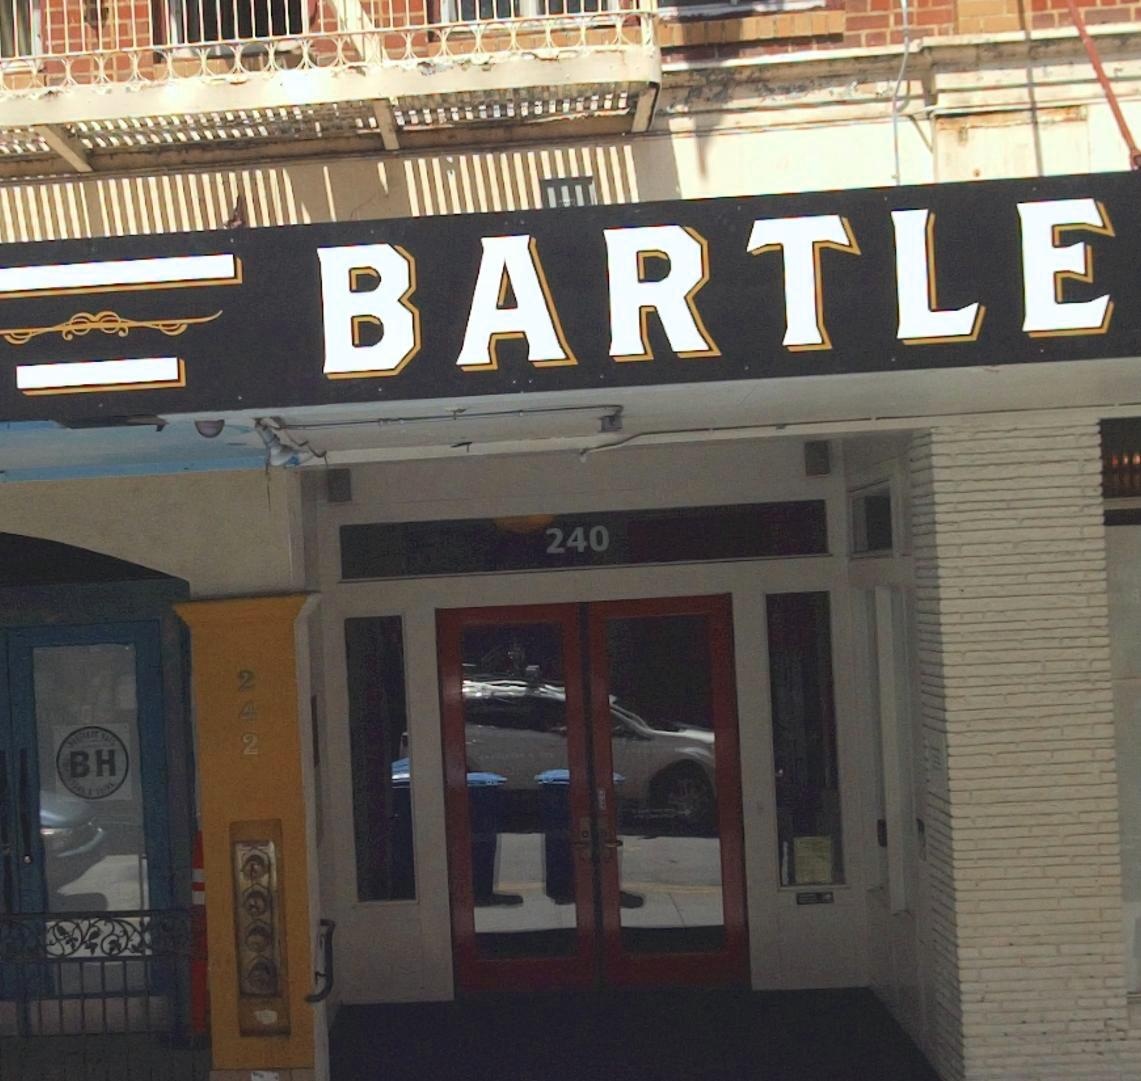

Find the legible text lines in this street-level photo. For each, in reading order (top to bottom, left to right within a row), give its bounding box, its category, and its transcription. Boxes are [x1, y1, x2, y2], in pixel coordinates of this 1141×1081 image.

[314, 195, 1113, 377] BusinessName: BARTLE
[544, 524, 611, 555] StreetNumber: 240
[236, 668, 260, 757] StreetNumber: 242
[68, 748, 116, 779] None: BH